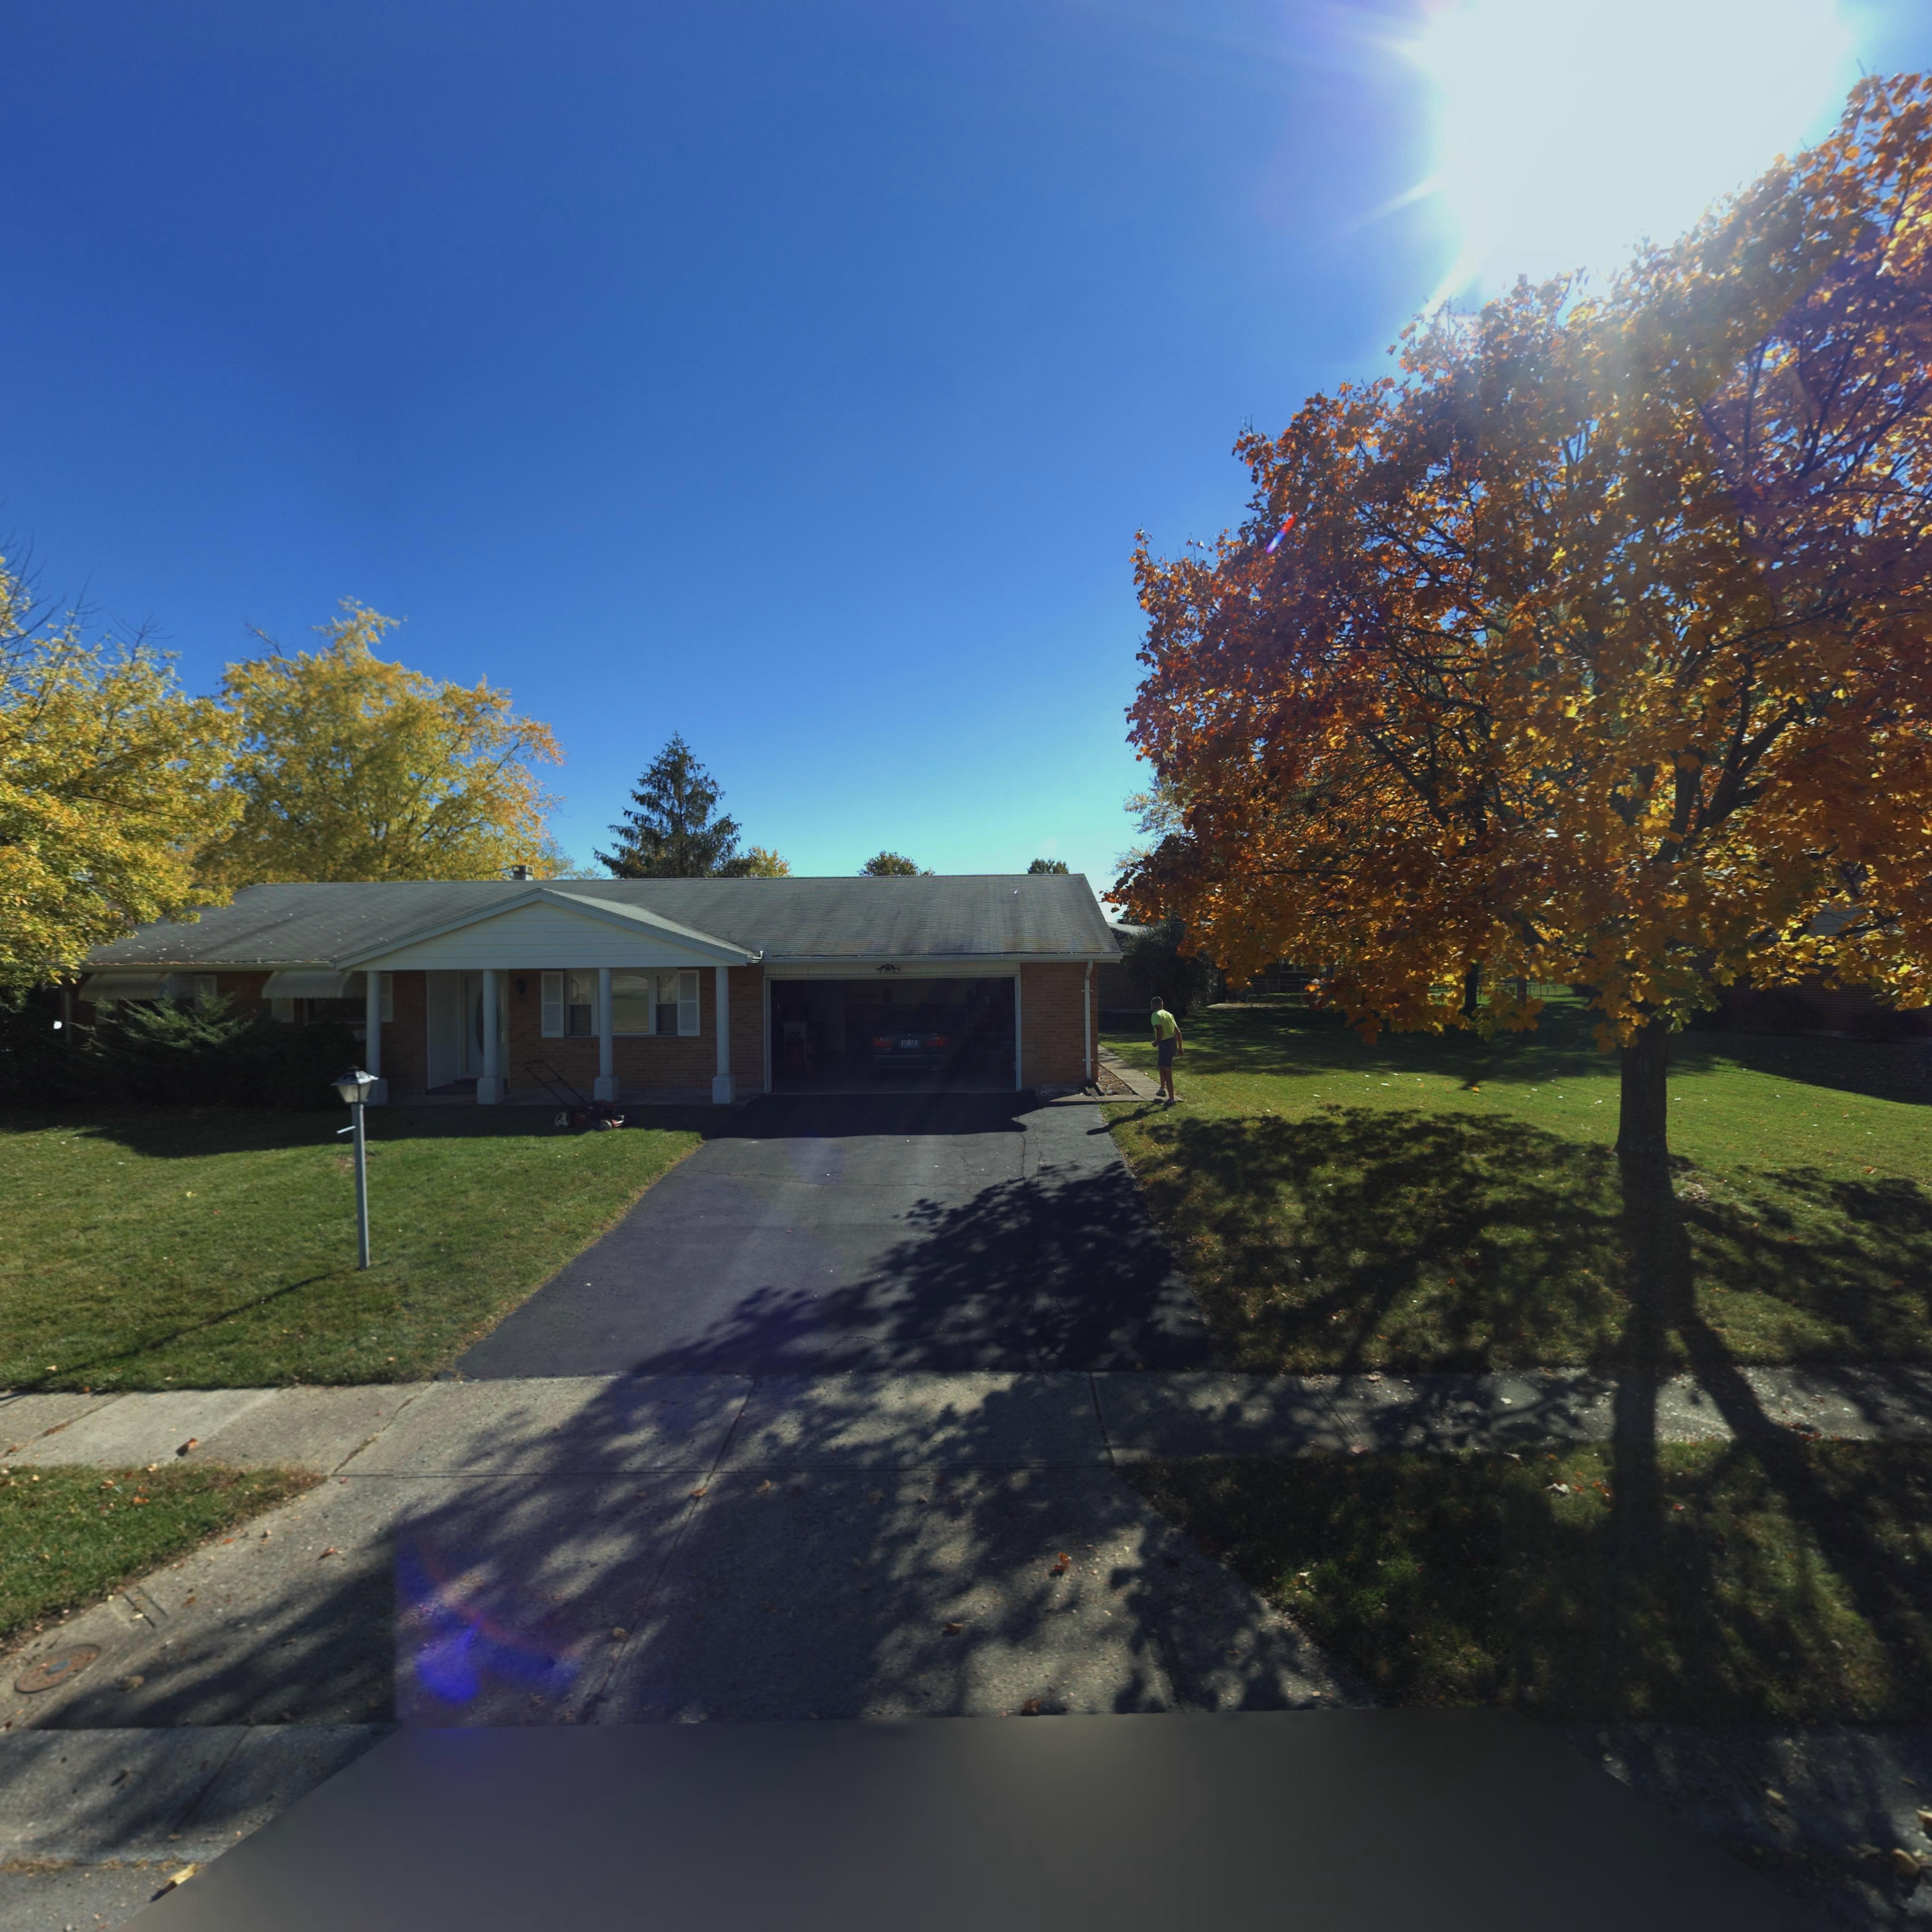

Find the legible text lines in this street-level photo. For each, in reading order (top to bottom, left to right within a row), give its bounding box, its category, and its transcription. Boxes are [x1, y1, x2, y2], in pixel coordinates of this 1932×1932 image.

[889, 967, 892, 972] StreetNumber: 0